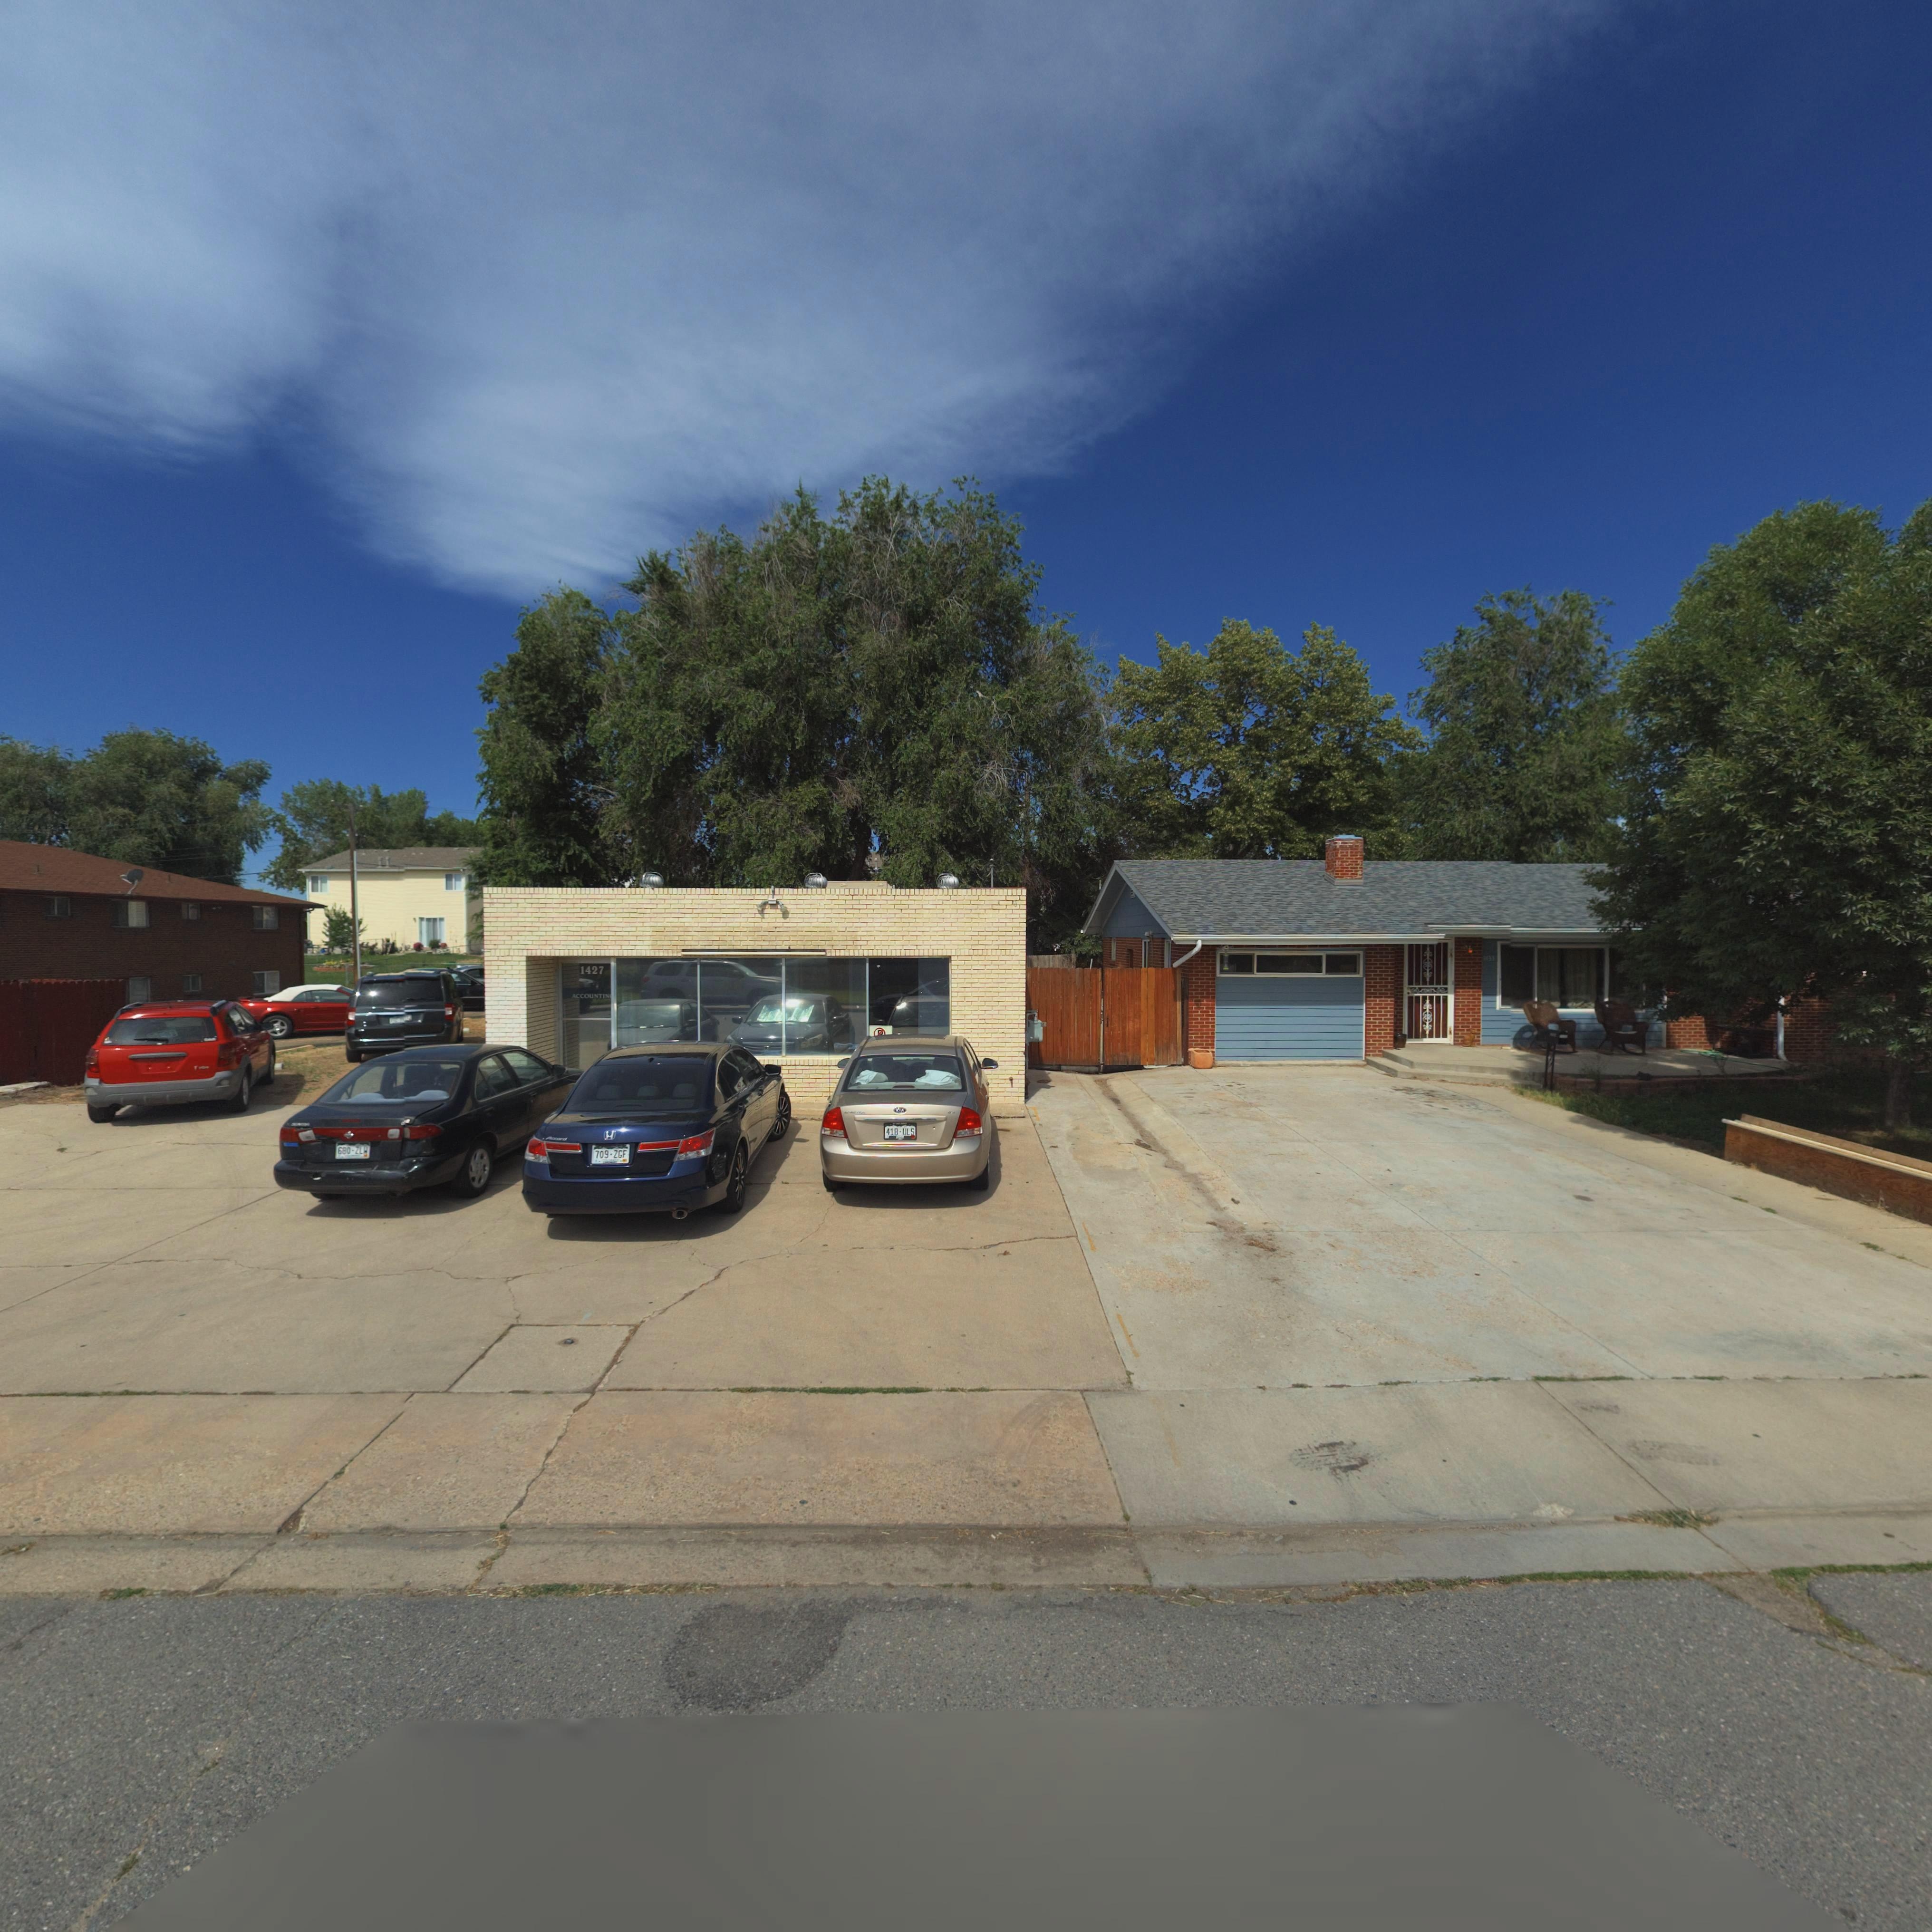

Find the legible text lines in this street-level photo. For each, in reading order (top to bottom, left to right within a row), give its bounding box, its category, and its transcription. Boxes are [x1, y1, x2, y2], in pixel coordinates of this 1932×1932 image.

[1483, 955, 1495, 961] StreetNumber: 1*33
[580, 966, 604, 974] StreetNumber: 1427